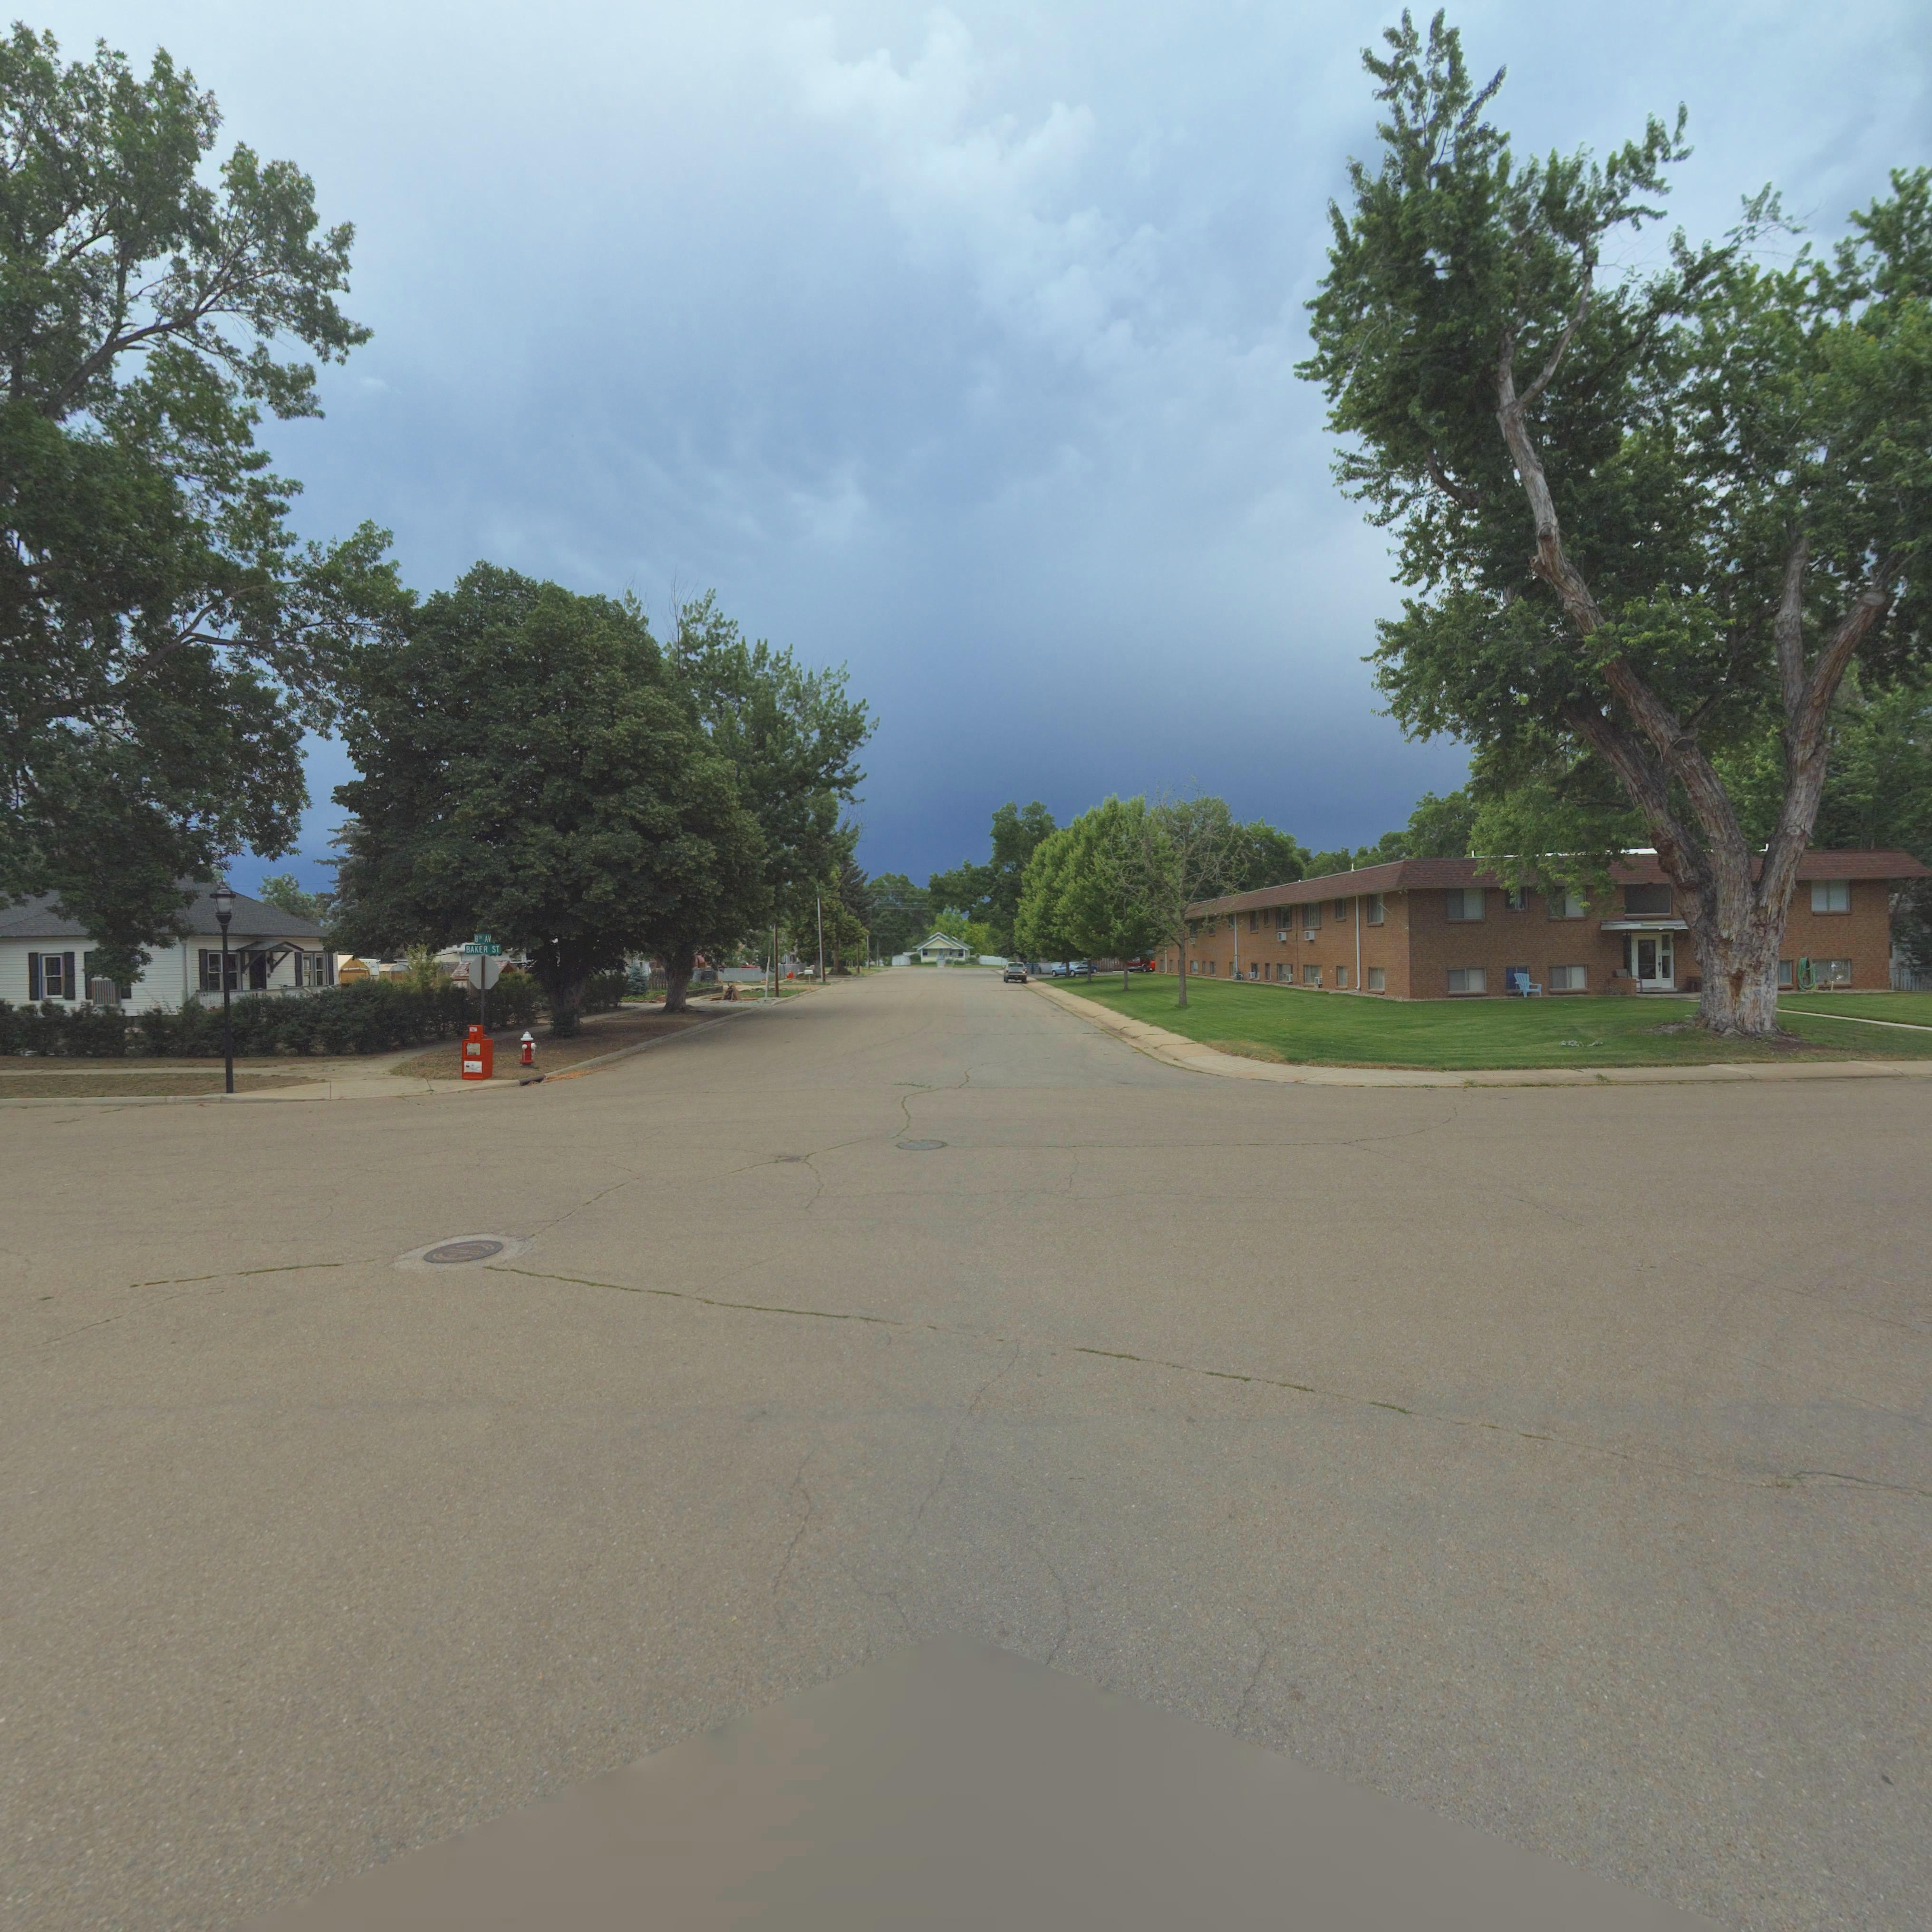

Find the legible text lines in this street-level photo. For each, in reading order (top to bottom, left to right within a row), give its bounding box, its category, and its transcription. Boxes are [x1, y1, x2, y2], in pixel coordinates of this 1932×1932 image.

[474, 934, 491, 943] StreetNumber: 8TH AV
[465, 945, 500, 953] StreetName: BAKER ST